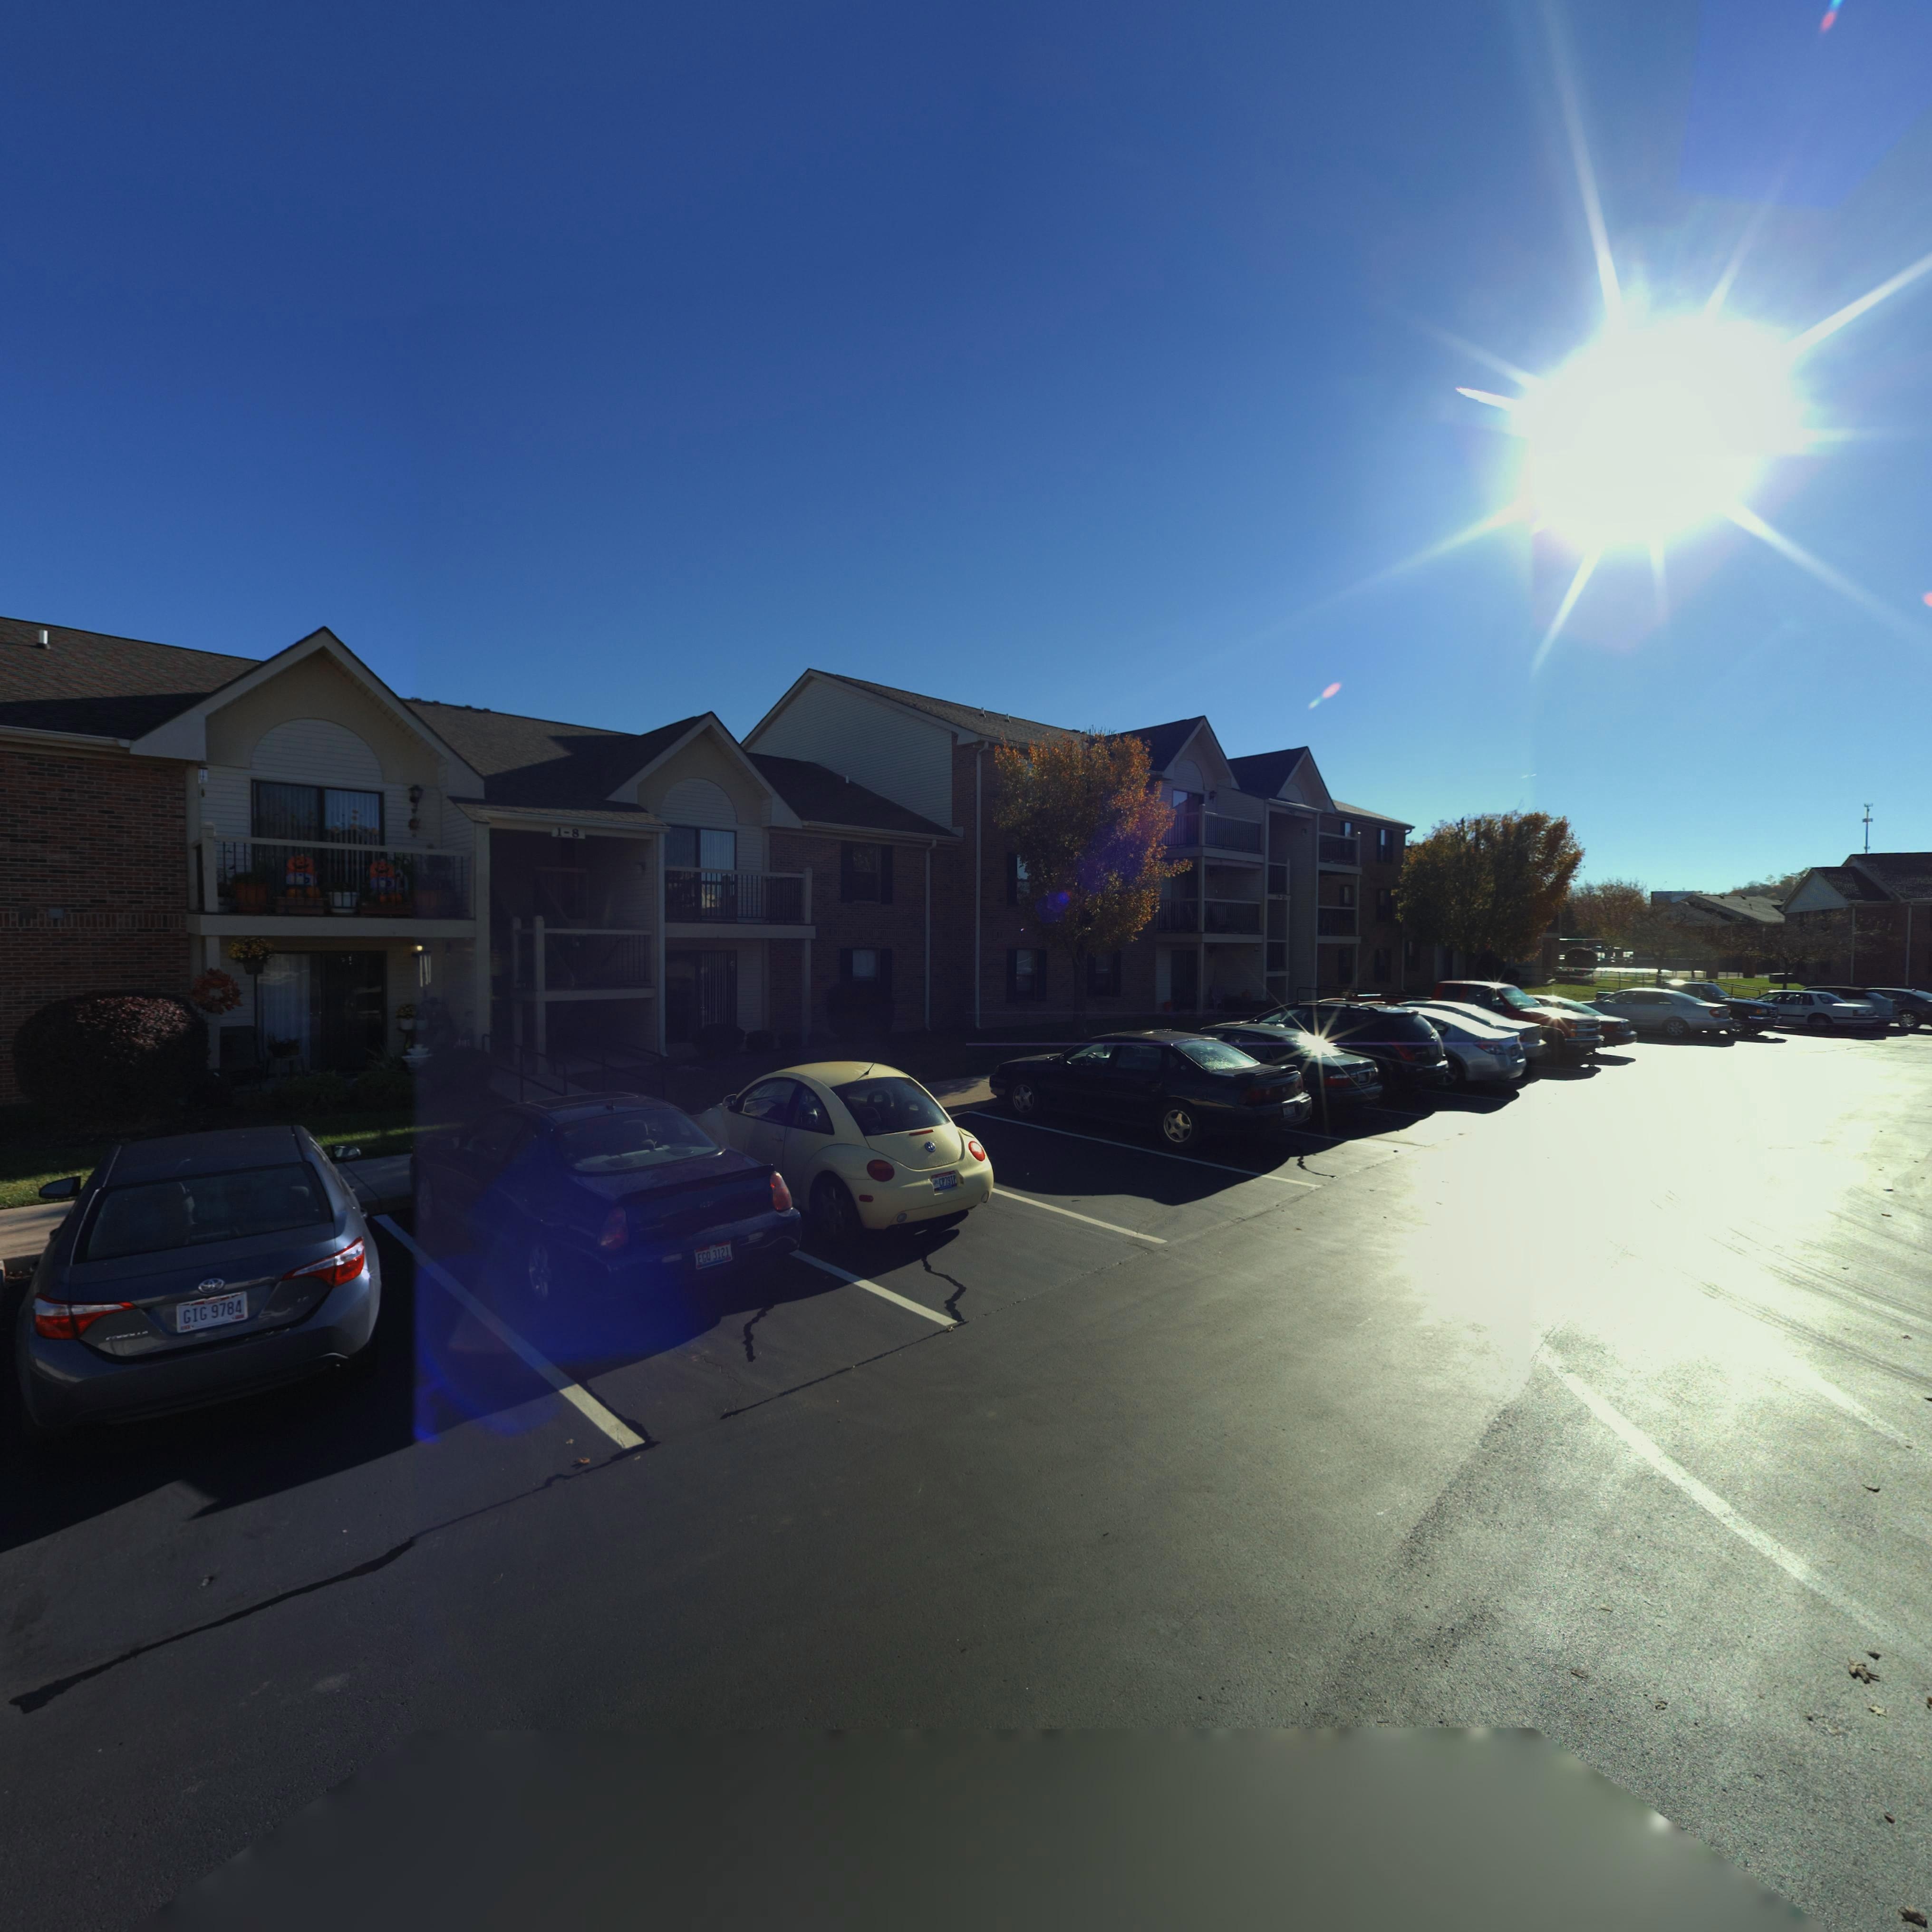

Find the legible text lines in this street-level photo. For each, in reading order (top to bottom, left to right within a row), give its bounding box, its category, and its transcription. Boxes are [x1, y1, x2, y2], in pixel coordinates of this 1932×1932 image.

[555, 826, 580, 838] StreetNumber: 1-8